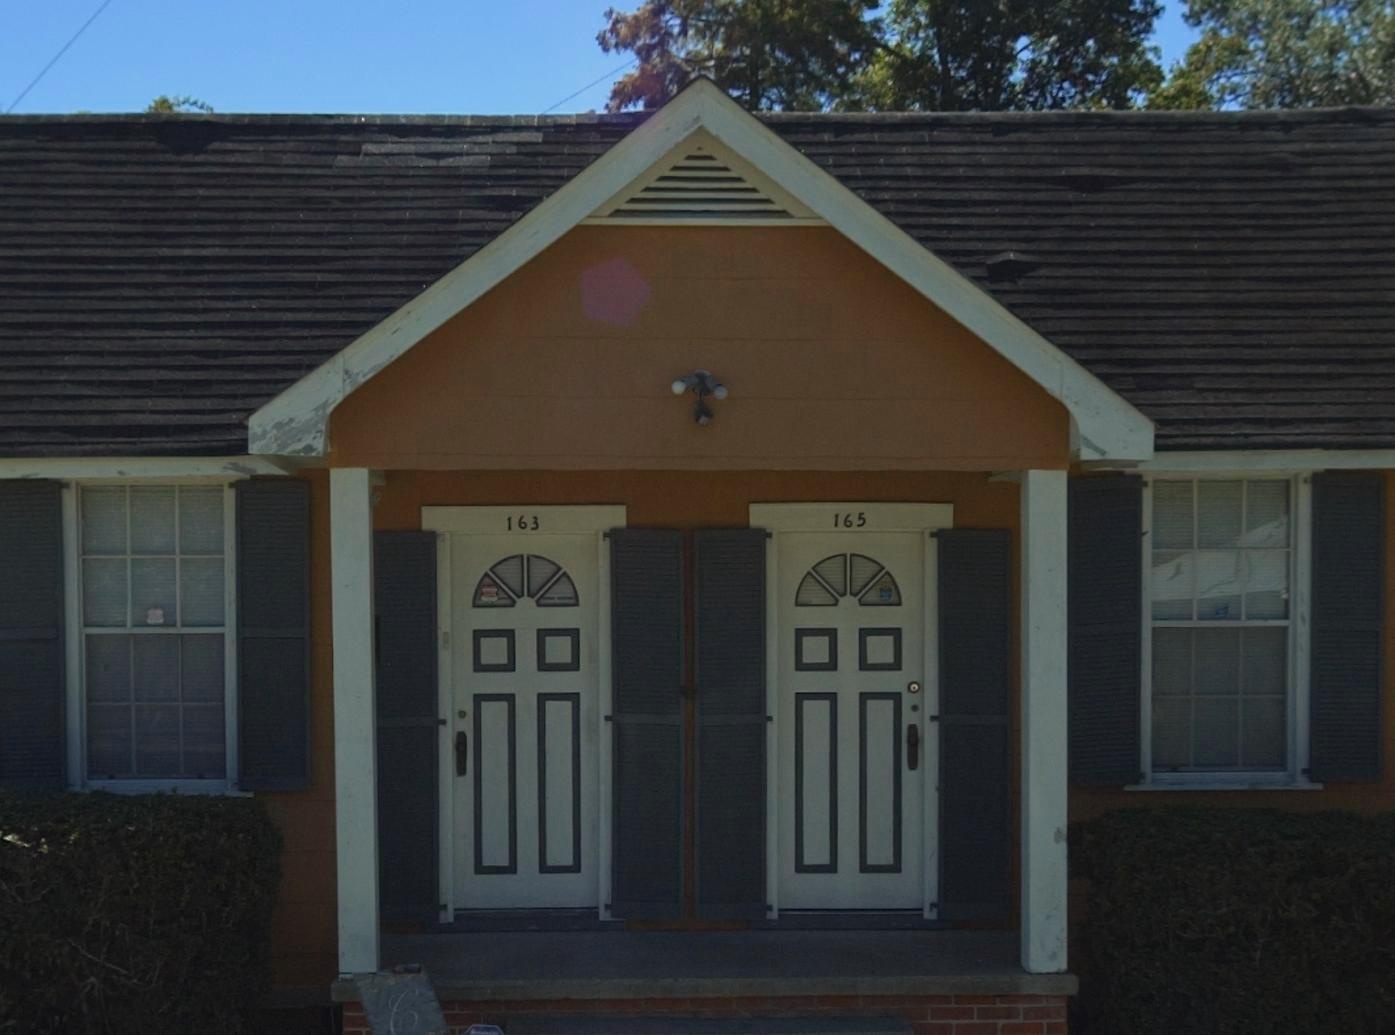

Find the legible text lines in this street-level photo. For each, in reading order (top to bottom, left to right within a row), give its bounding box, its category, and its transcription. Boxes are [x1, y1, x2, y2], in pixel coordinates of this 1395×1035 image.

[505, 514, 541, 532] StreetNumber: 163
[832, 510, 867, 529] StreetNumber: 165